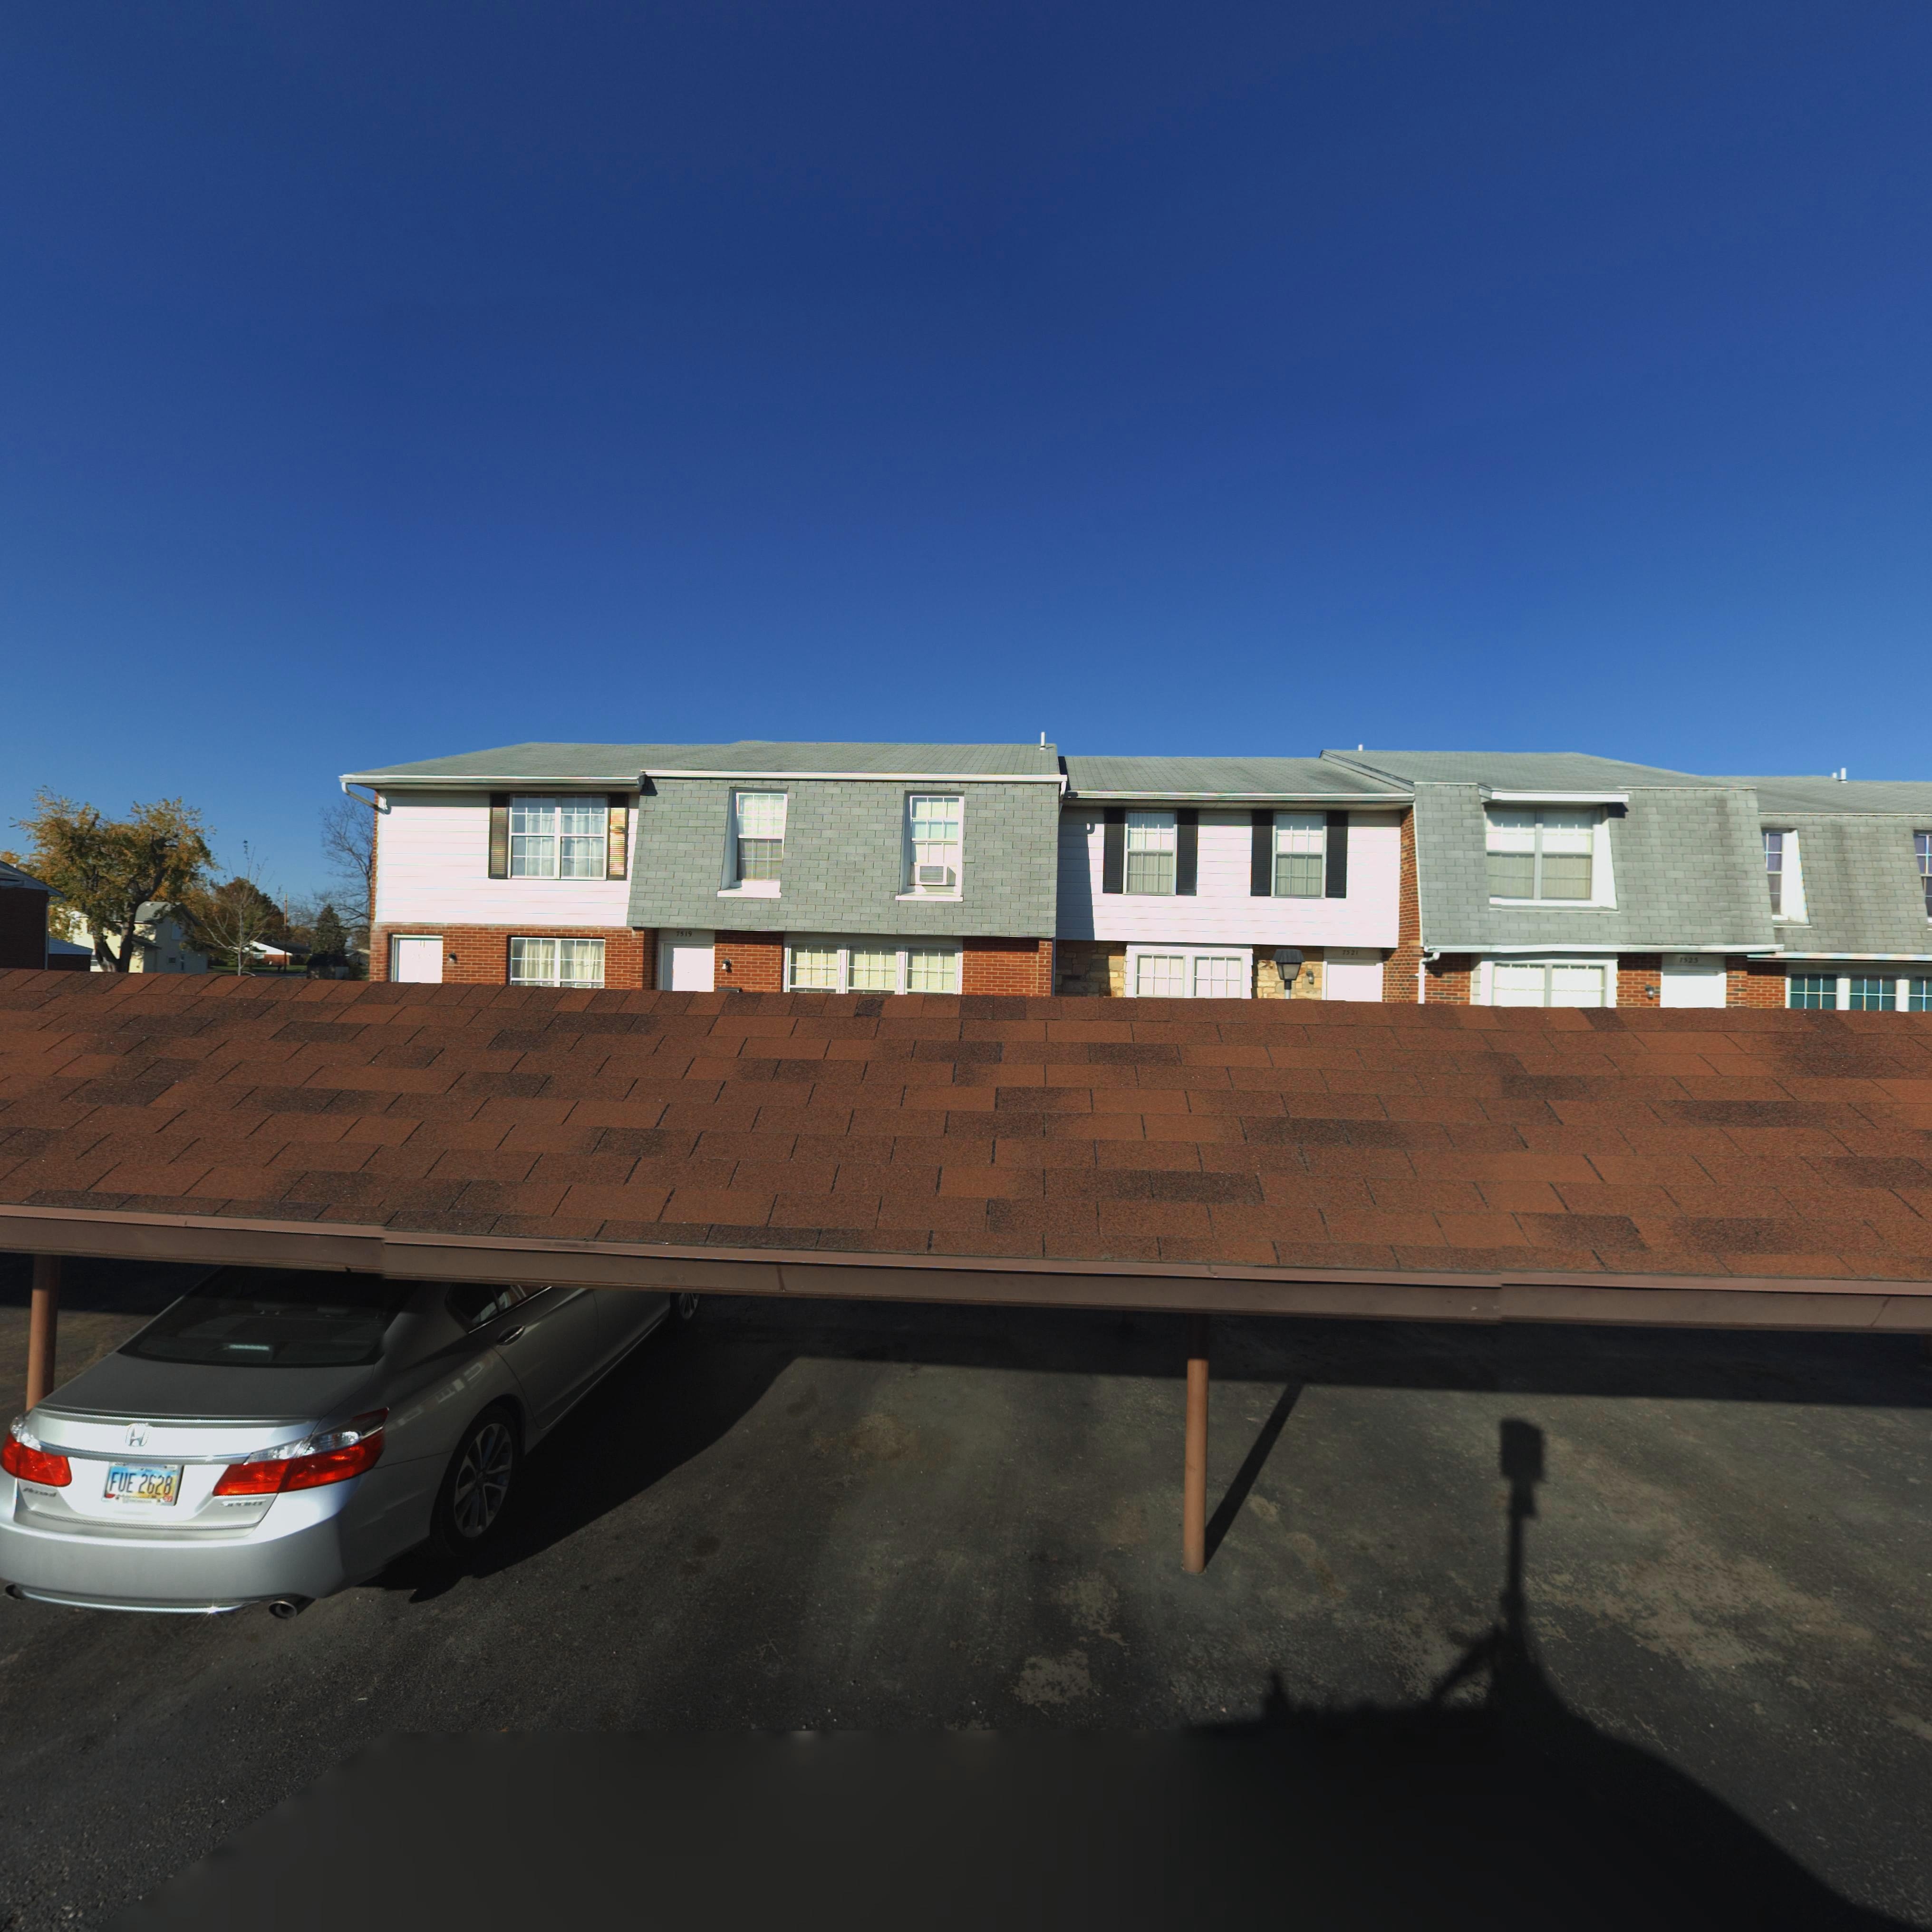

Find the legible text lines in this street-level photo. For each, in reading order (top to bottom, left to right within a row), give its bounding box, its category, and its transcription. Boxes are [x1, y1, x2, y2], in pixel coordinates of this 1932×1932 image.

[676, 930, 692, 937] StreetNumber: 7519
[1342, 949, 1358, 956] StreetNumber: 7521
[1679, 957, 1699, 964] StreetNumber: 7523